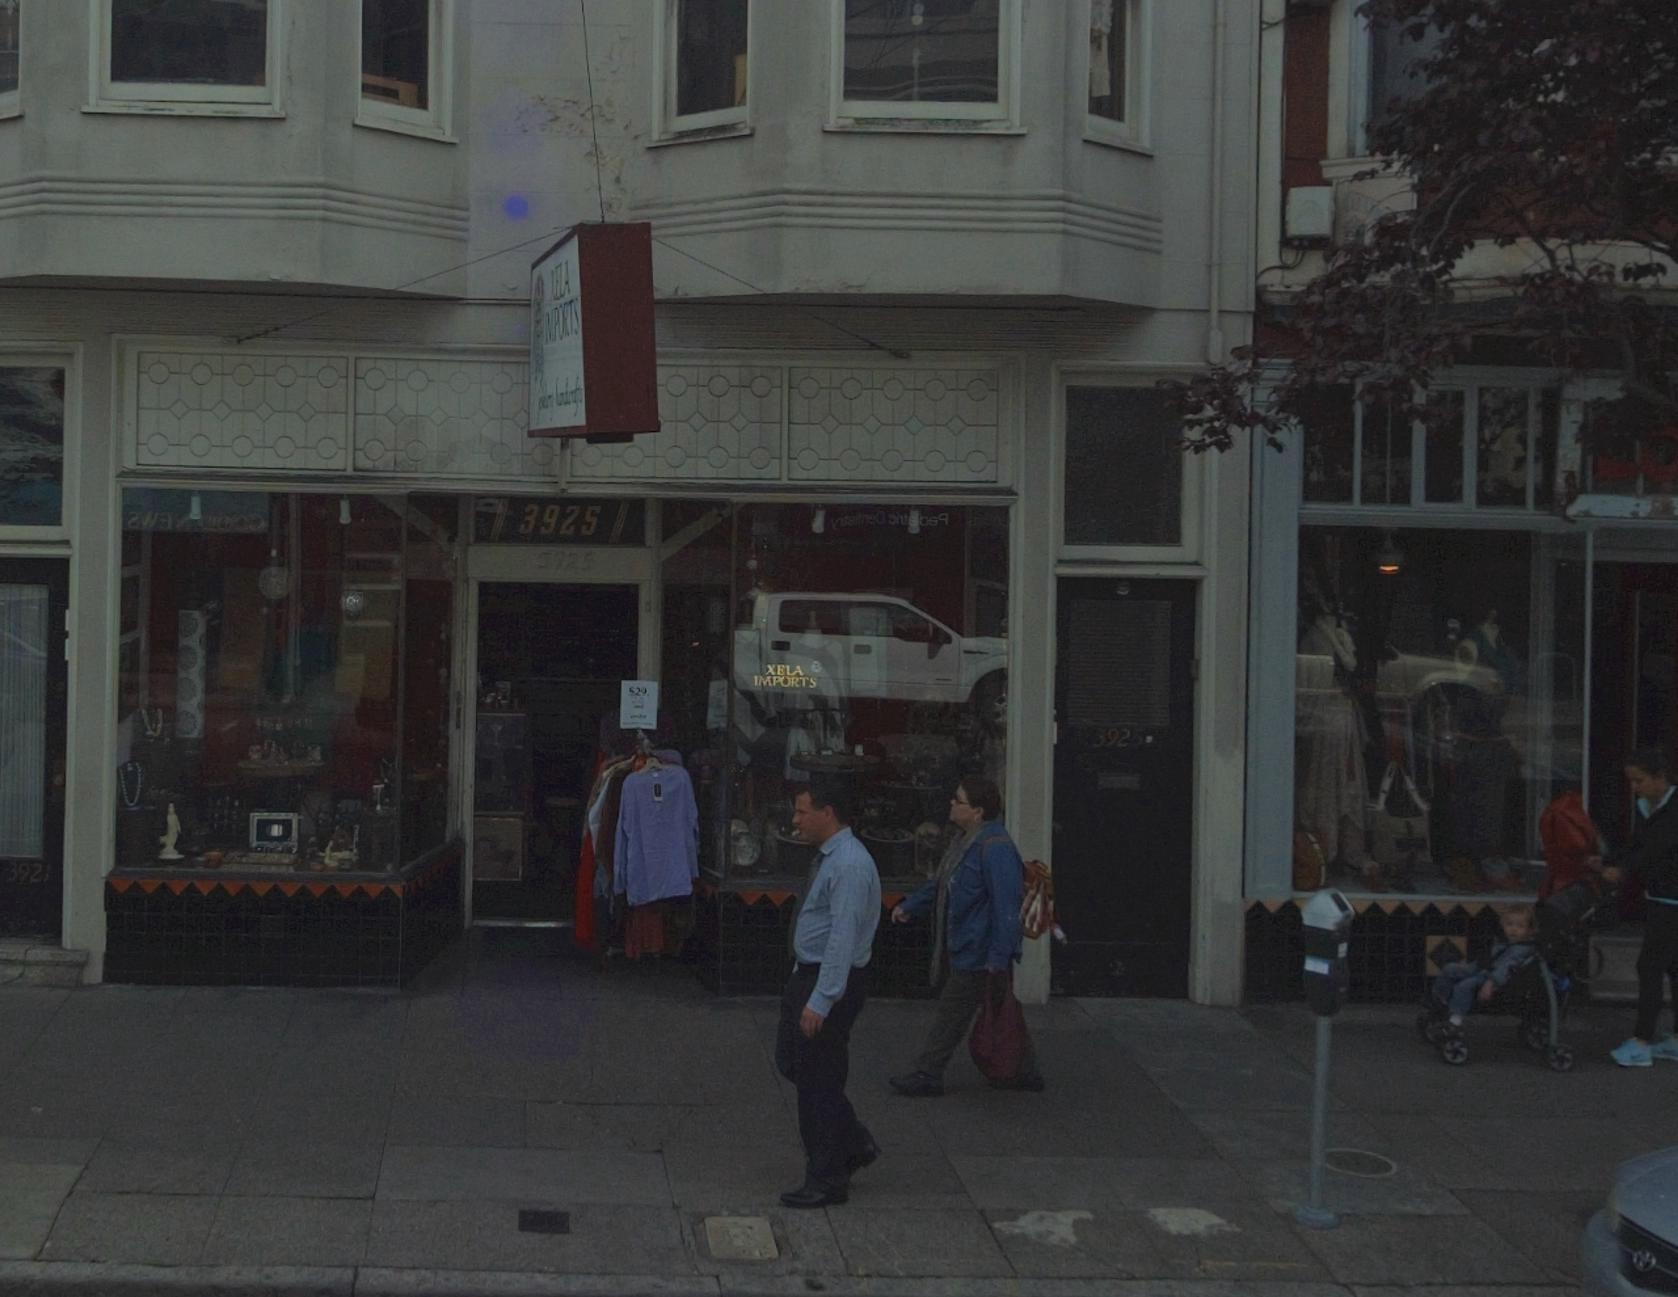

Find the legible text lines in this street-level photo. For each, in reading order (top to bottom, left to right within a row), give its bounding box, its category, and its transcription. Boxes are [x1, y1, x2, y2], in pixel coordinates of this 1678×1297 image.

[549, 256, 573, 305] BusinessName: *ELA
[543, 294, 581, 346] BusinessName: **PORTS
[514, 500, 606, 538] StreetNumber: 3925
[534, 549, 598, 575] StreetNumber: 3925
[626, 685, 649, 698] None: $29
[763, 661, 807, 677] BusinessName: XELA
[753, 674, 818, 690] BusinessName: IMPORTS
[1089, 725, 1148, 750] StreetNumber: 3925